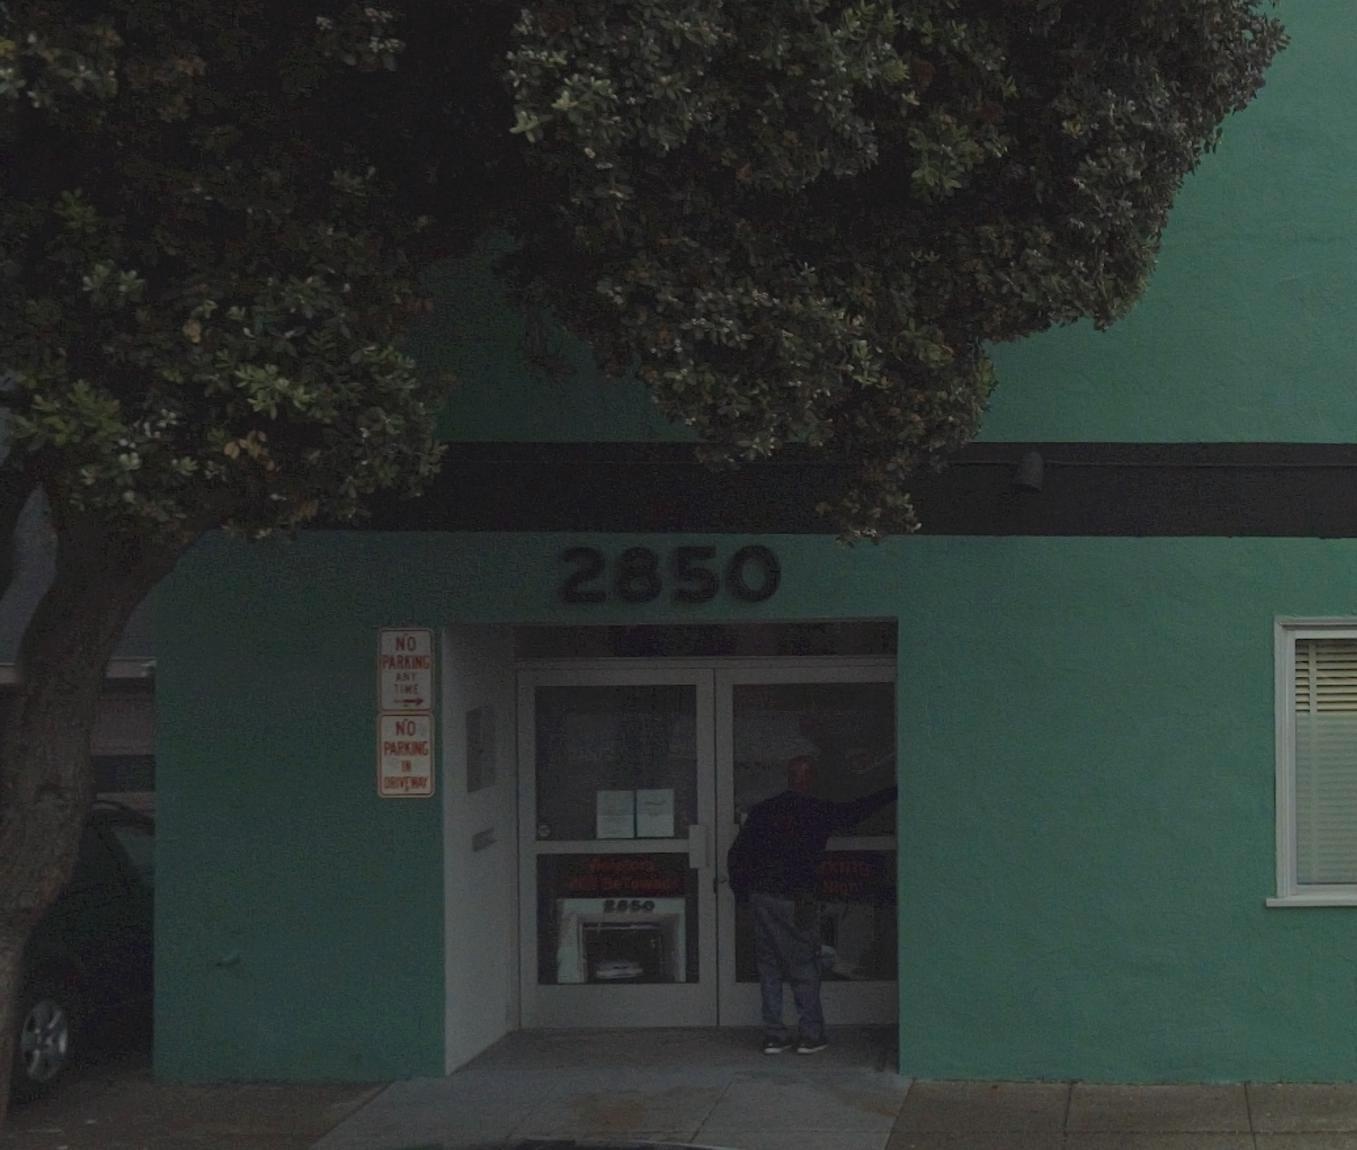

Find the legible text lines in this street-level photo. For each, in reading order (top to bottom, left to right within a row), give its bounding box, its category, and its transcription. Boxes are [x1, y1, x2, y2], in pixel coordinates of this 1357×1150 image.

[557, 544, 782, 607] StreetNumber: 2850
[394, 635, 417, 652] None: NO
[380, 654, 432, 670] None: PARKING
[394, 671, 417, 682] None: ANY
[393, 683, 420, 695] None: TIME
[395, 720, 416, 736] None: NO
[382, 740, 431, 756] None: PARKING
[400, 760, 412, 774] None: IN
[382, 775, 429, 790] None: DRIVEWAY